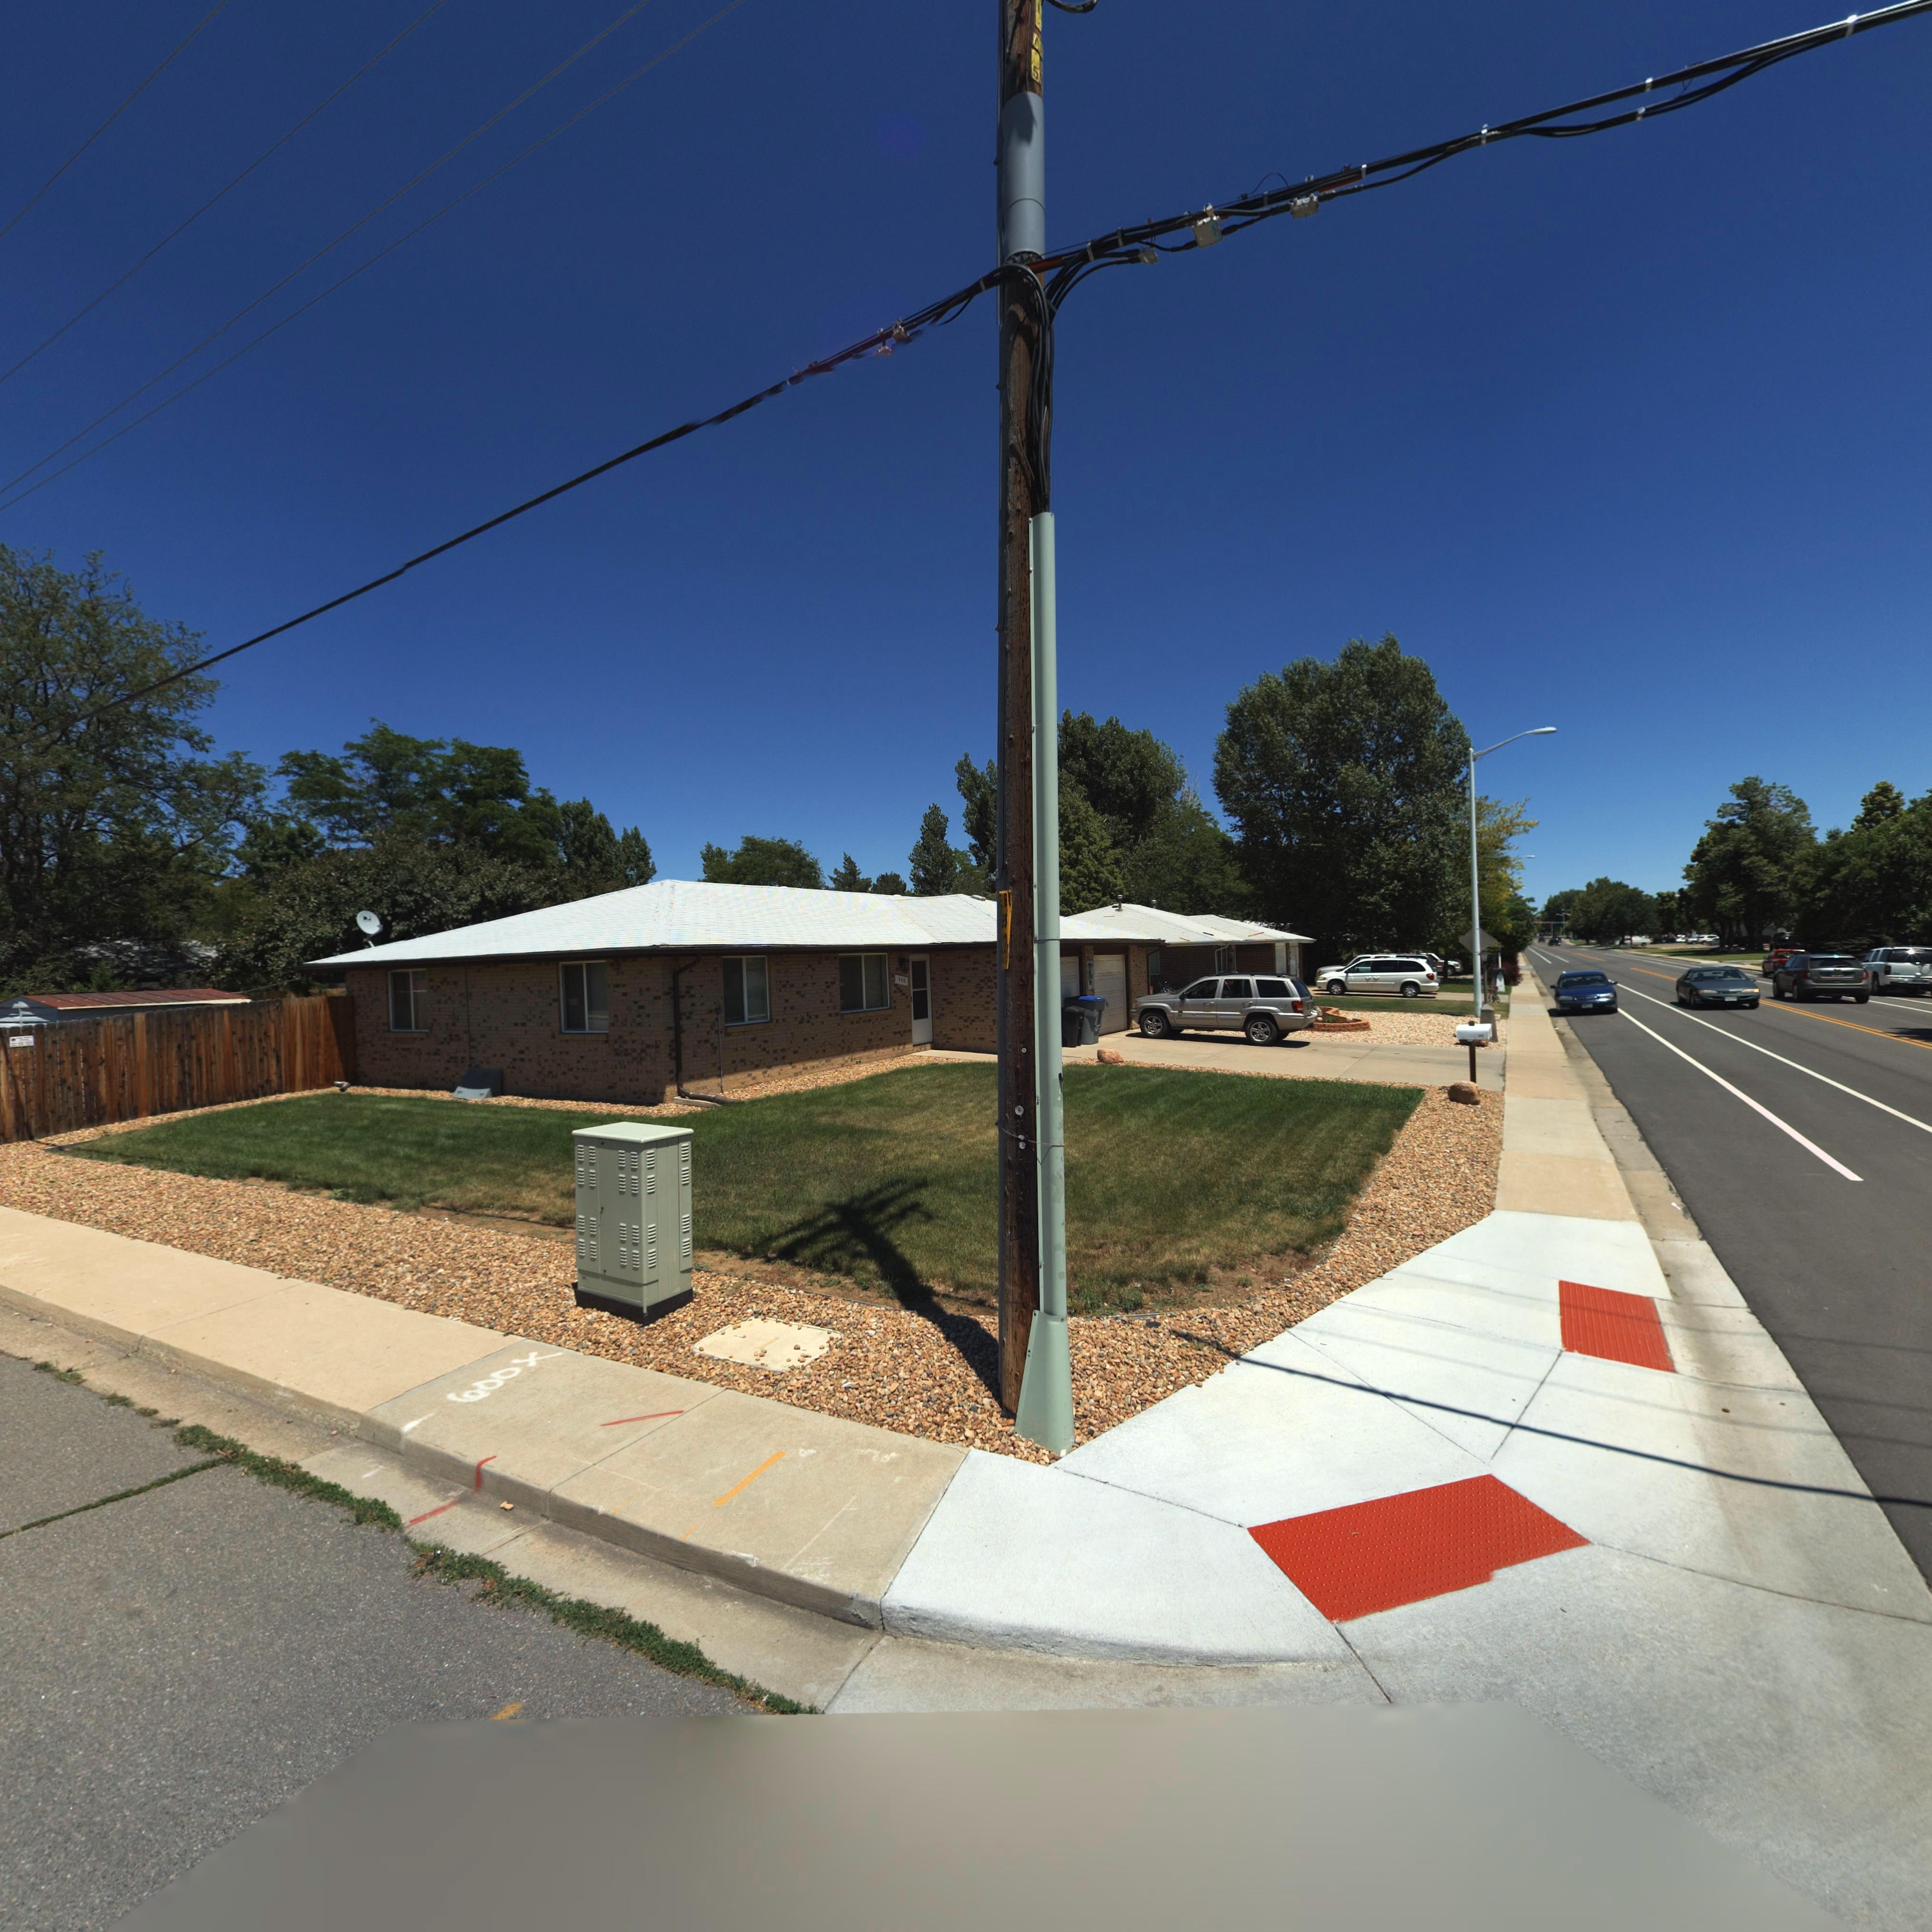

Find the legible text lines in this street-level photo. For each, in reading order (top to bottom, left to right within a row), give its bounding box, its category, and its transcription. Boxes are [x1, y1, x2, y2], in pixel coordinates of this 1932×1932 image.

[898, 976, 906, 984] StreetNumber: 94*